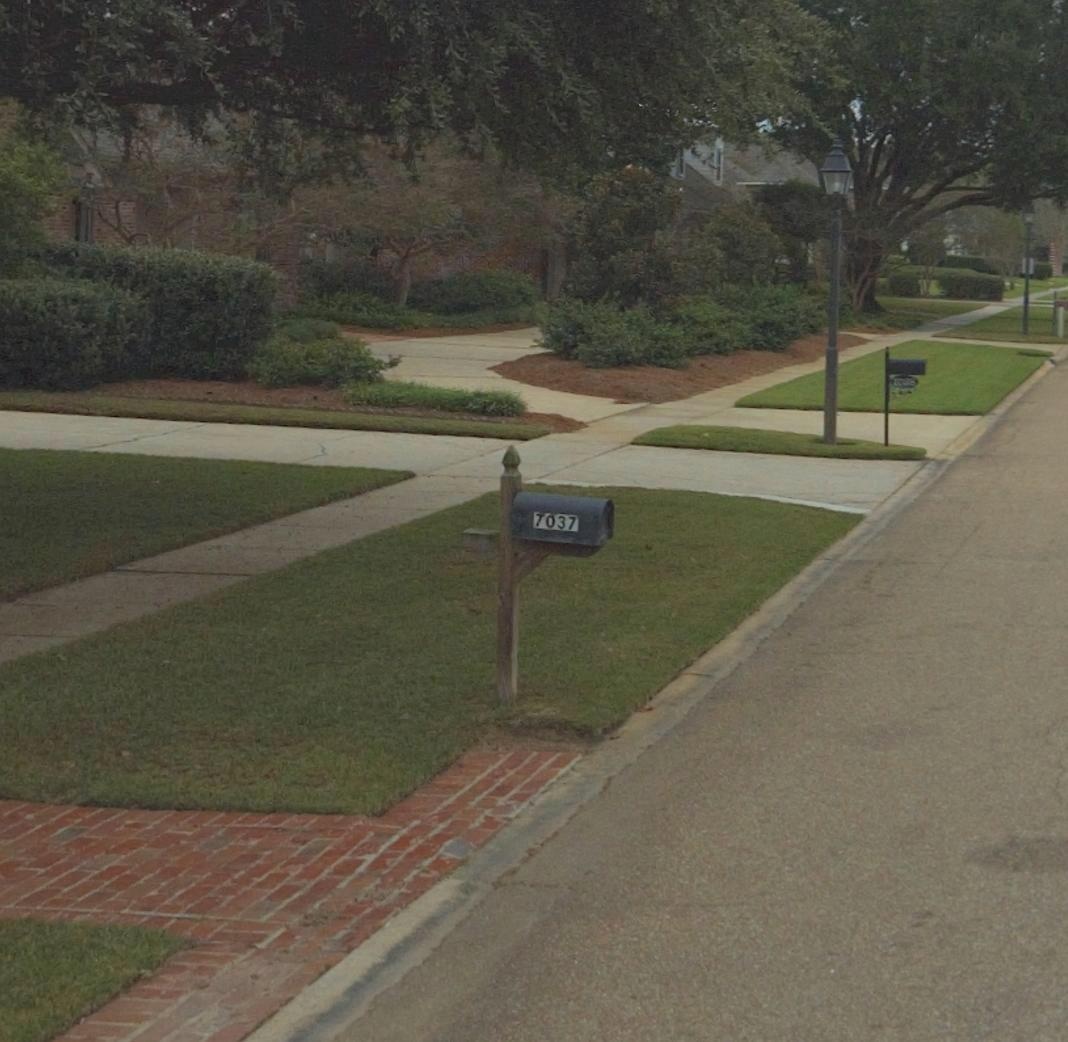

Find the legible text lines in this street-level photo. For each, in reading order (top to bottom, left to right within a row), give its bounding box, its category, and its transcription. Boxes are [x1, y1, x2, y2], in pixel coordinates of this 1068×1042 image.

[534, 512, 578, 532] StreetNumber: 7037